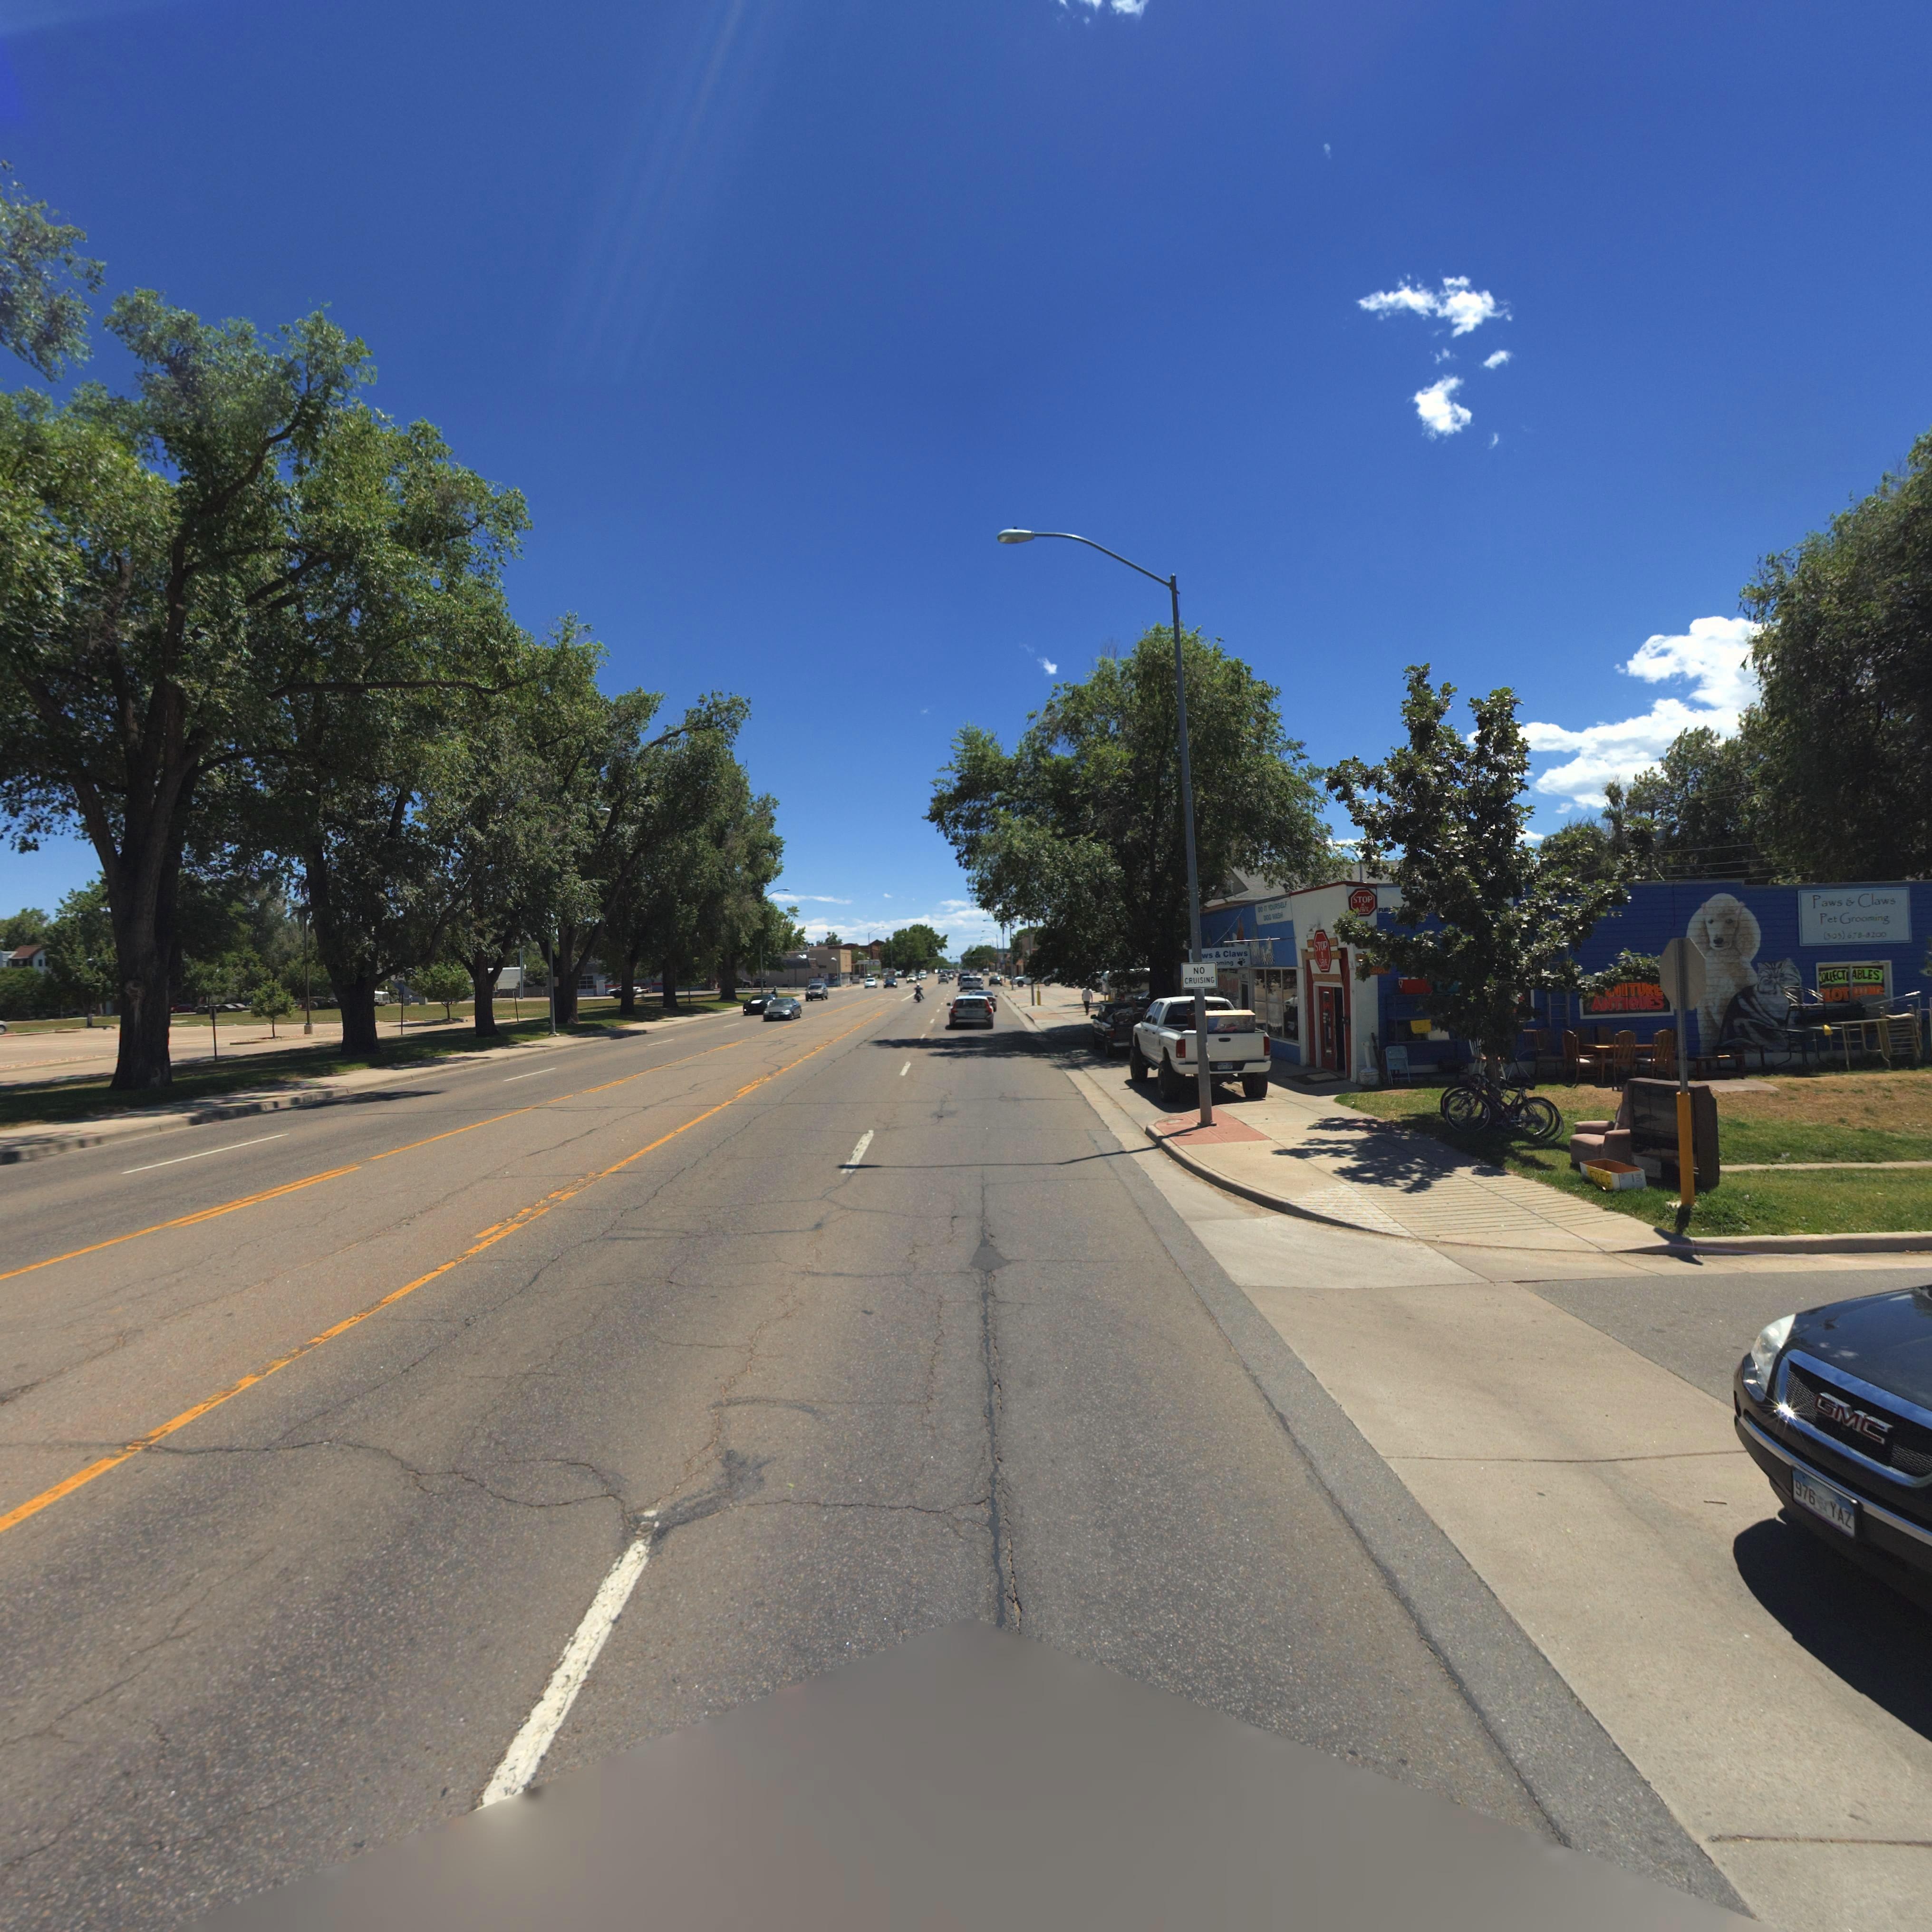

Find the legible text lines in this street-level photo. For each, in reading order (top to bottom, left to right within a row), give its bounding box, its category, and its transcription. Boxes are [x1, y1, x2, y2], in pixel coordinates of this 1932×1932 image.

[1352, 896, 1372, 903] BusinessName: STOP
[1361, 903, 1364, 906] BusinessName: n
[1812, 893, 1896, 908] BusinessName: Paws & Claws
[1360, 906, 1369, 912] BusinessName: AVE
[1819, 912, 1890, 925] BusinessName: Pet Grooming
[1314, 941, 1327, 951] BusinessName: STOP
[1201, 950, 1248, 958] BusinessName: ws & Claws
[1320, 951, 1323, 957] BusinessName: n
[1219, 960, 1233, 966] BusinessName: ming
[1319, 958, 1327, 967] BusinessName: SAVE